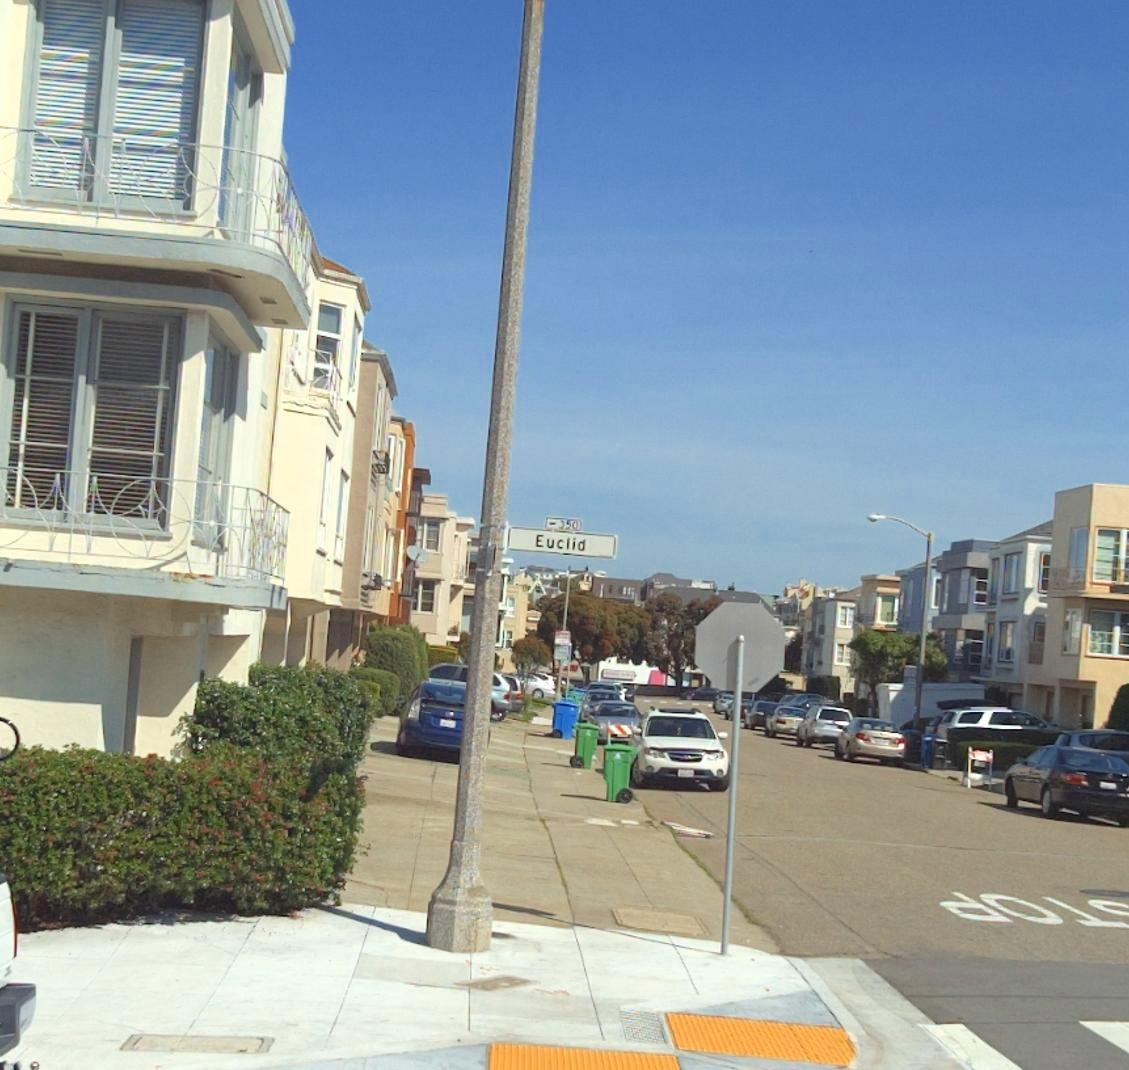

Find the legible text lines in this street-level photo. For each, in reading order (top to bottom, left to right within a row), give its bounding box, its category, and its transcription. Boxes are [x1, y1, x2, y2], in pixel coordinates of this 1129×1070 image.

[545, 518, 582, 530] StreetNumberRange: <-350
[534, 533, 587, 553] StreetName: Eulid
[915, 890, 1126, 930] None: *TOP